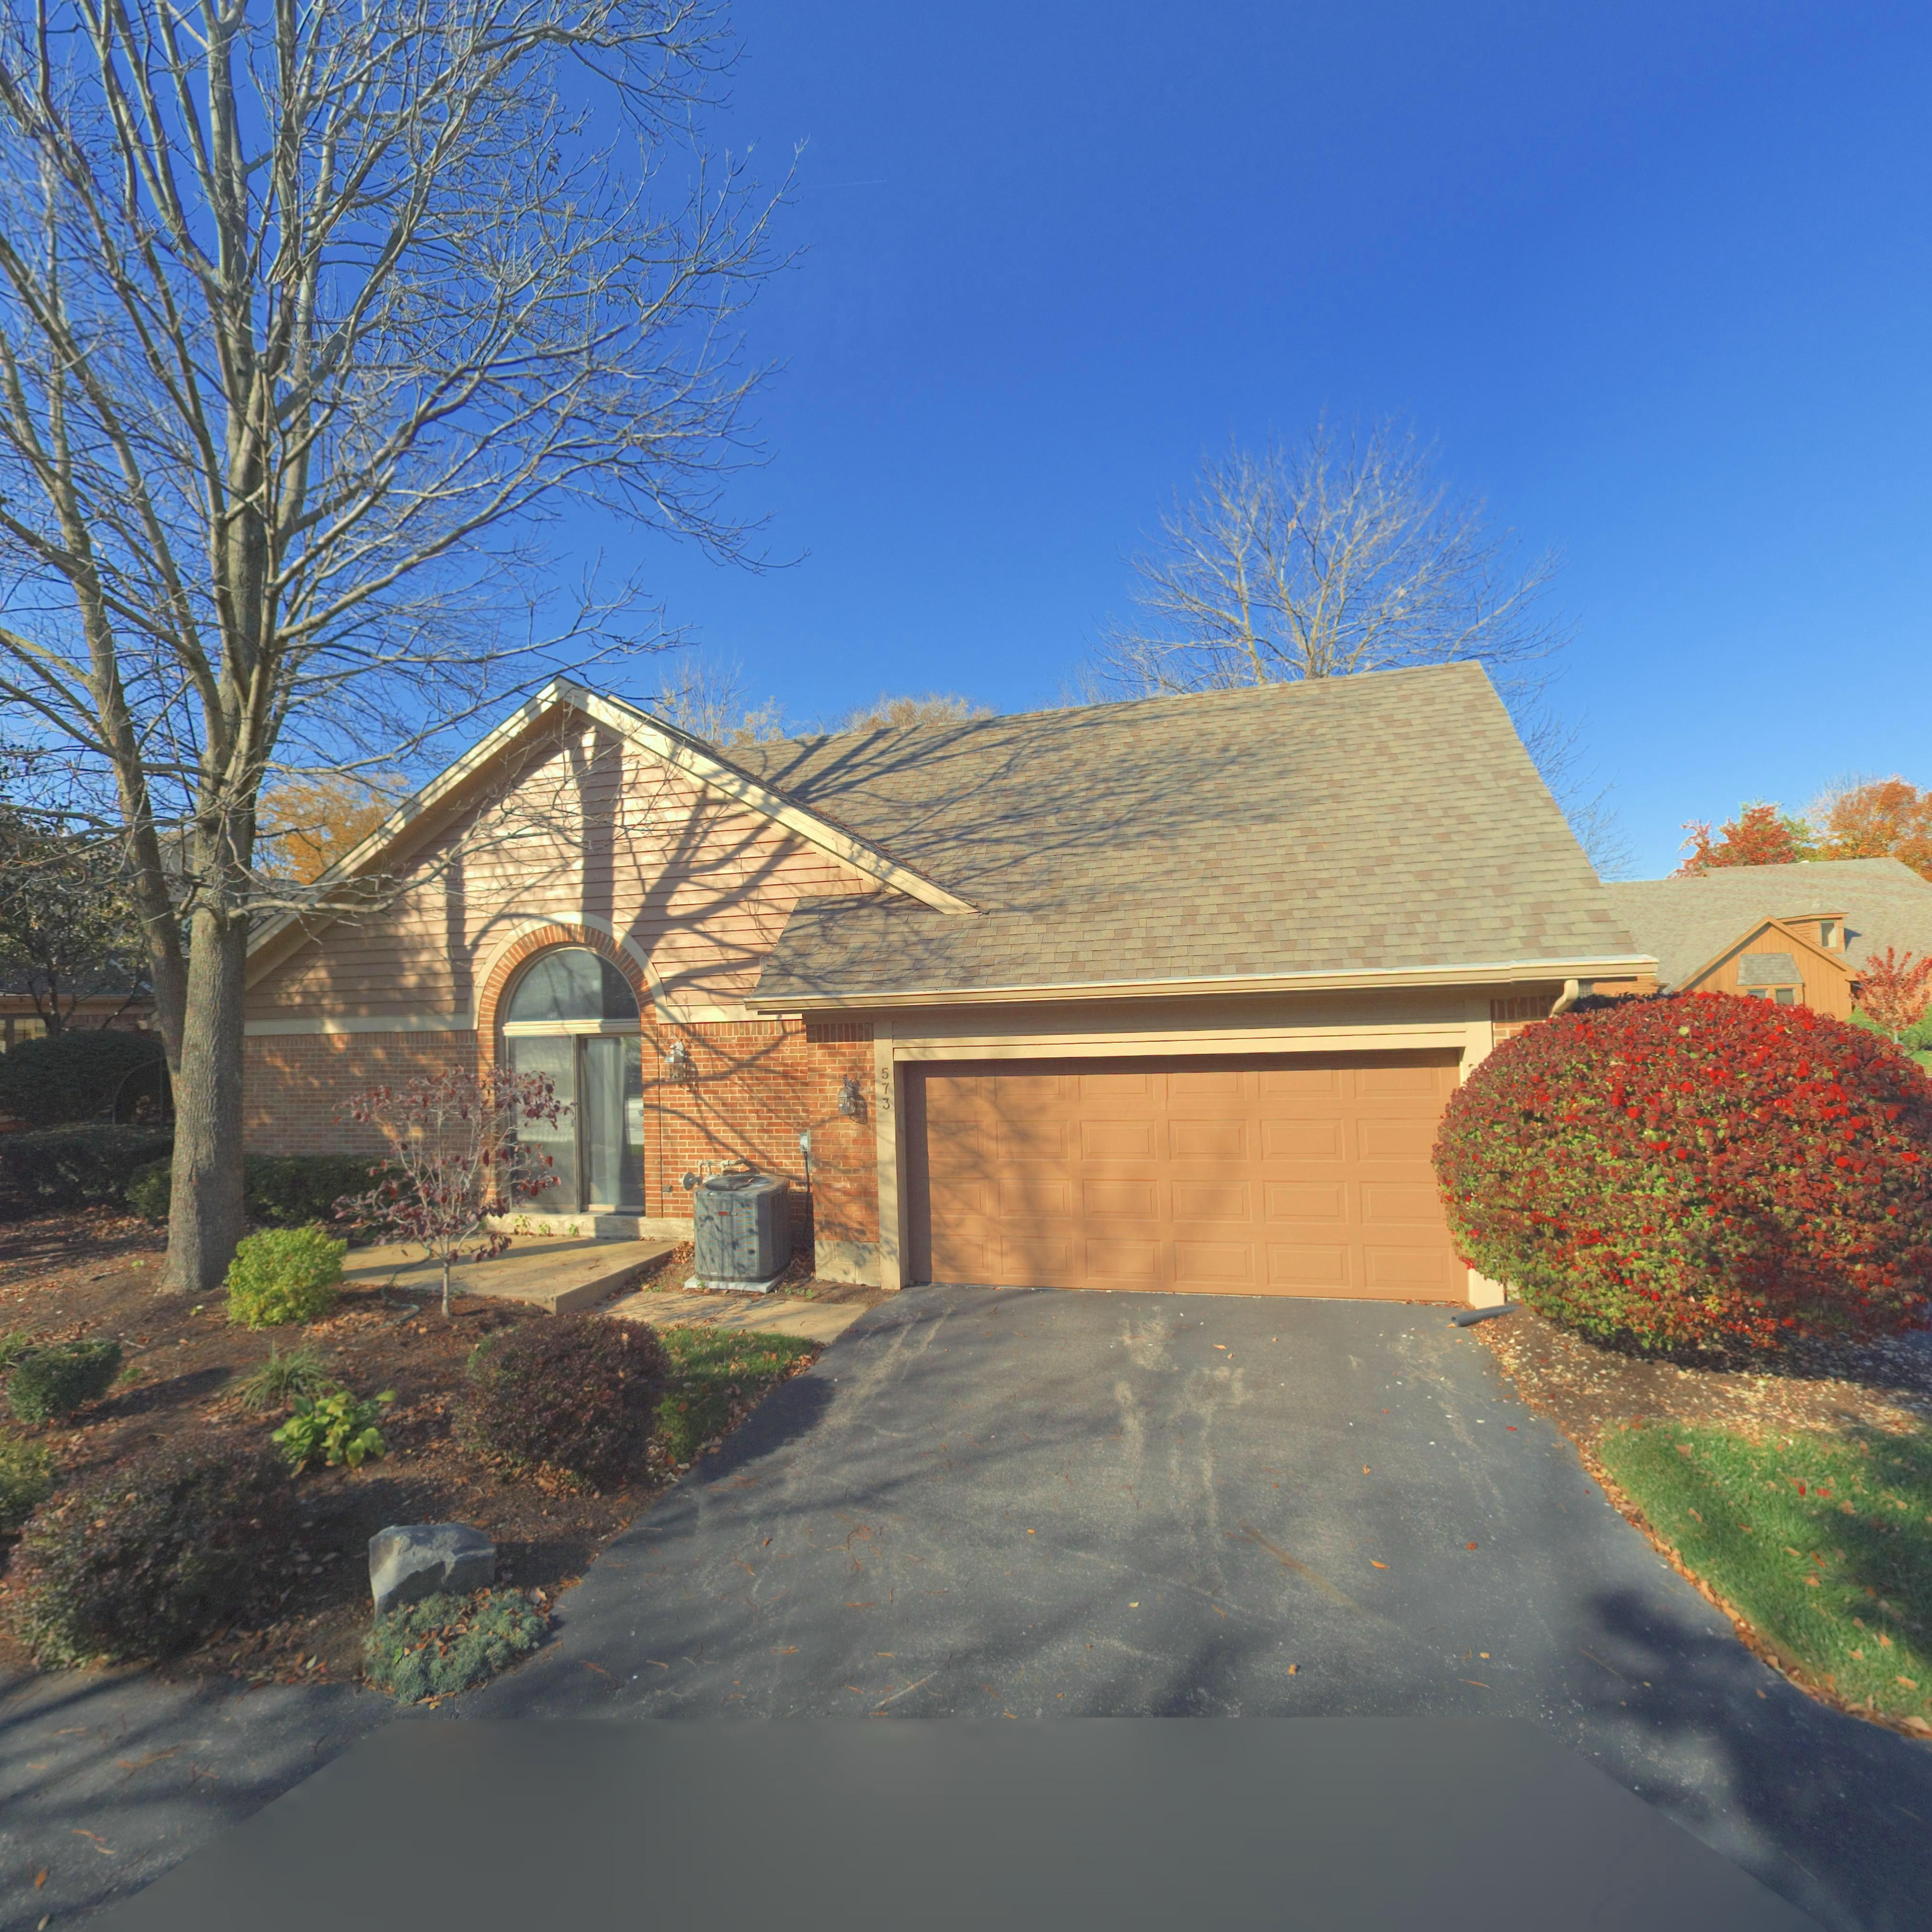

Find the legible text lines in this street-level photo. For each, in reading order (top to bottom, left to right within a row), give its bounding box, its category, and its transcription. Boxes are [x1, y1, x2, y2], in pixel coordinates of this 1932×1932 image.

[880, 1066, 890, 1110] StreetNumber: 573